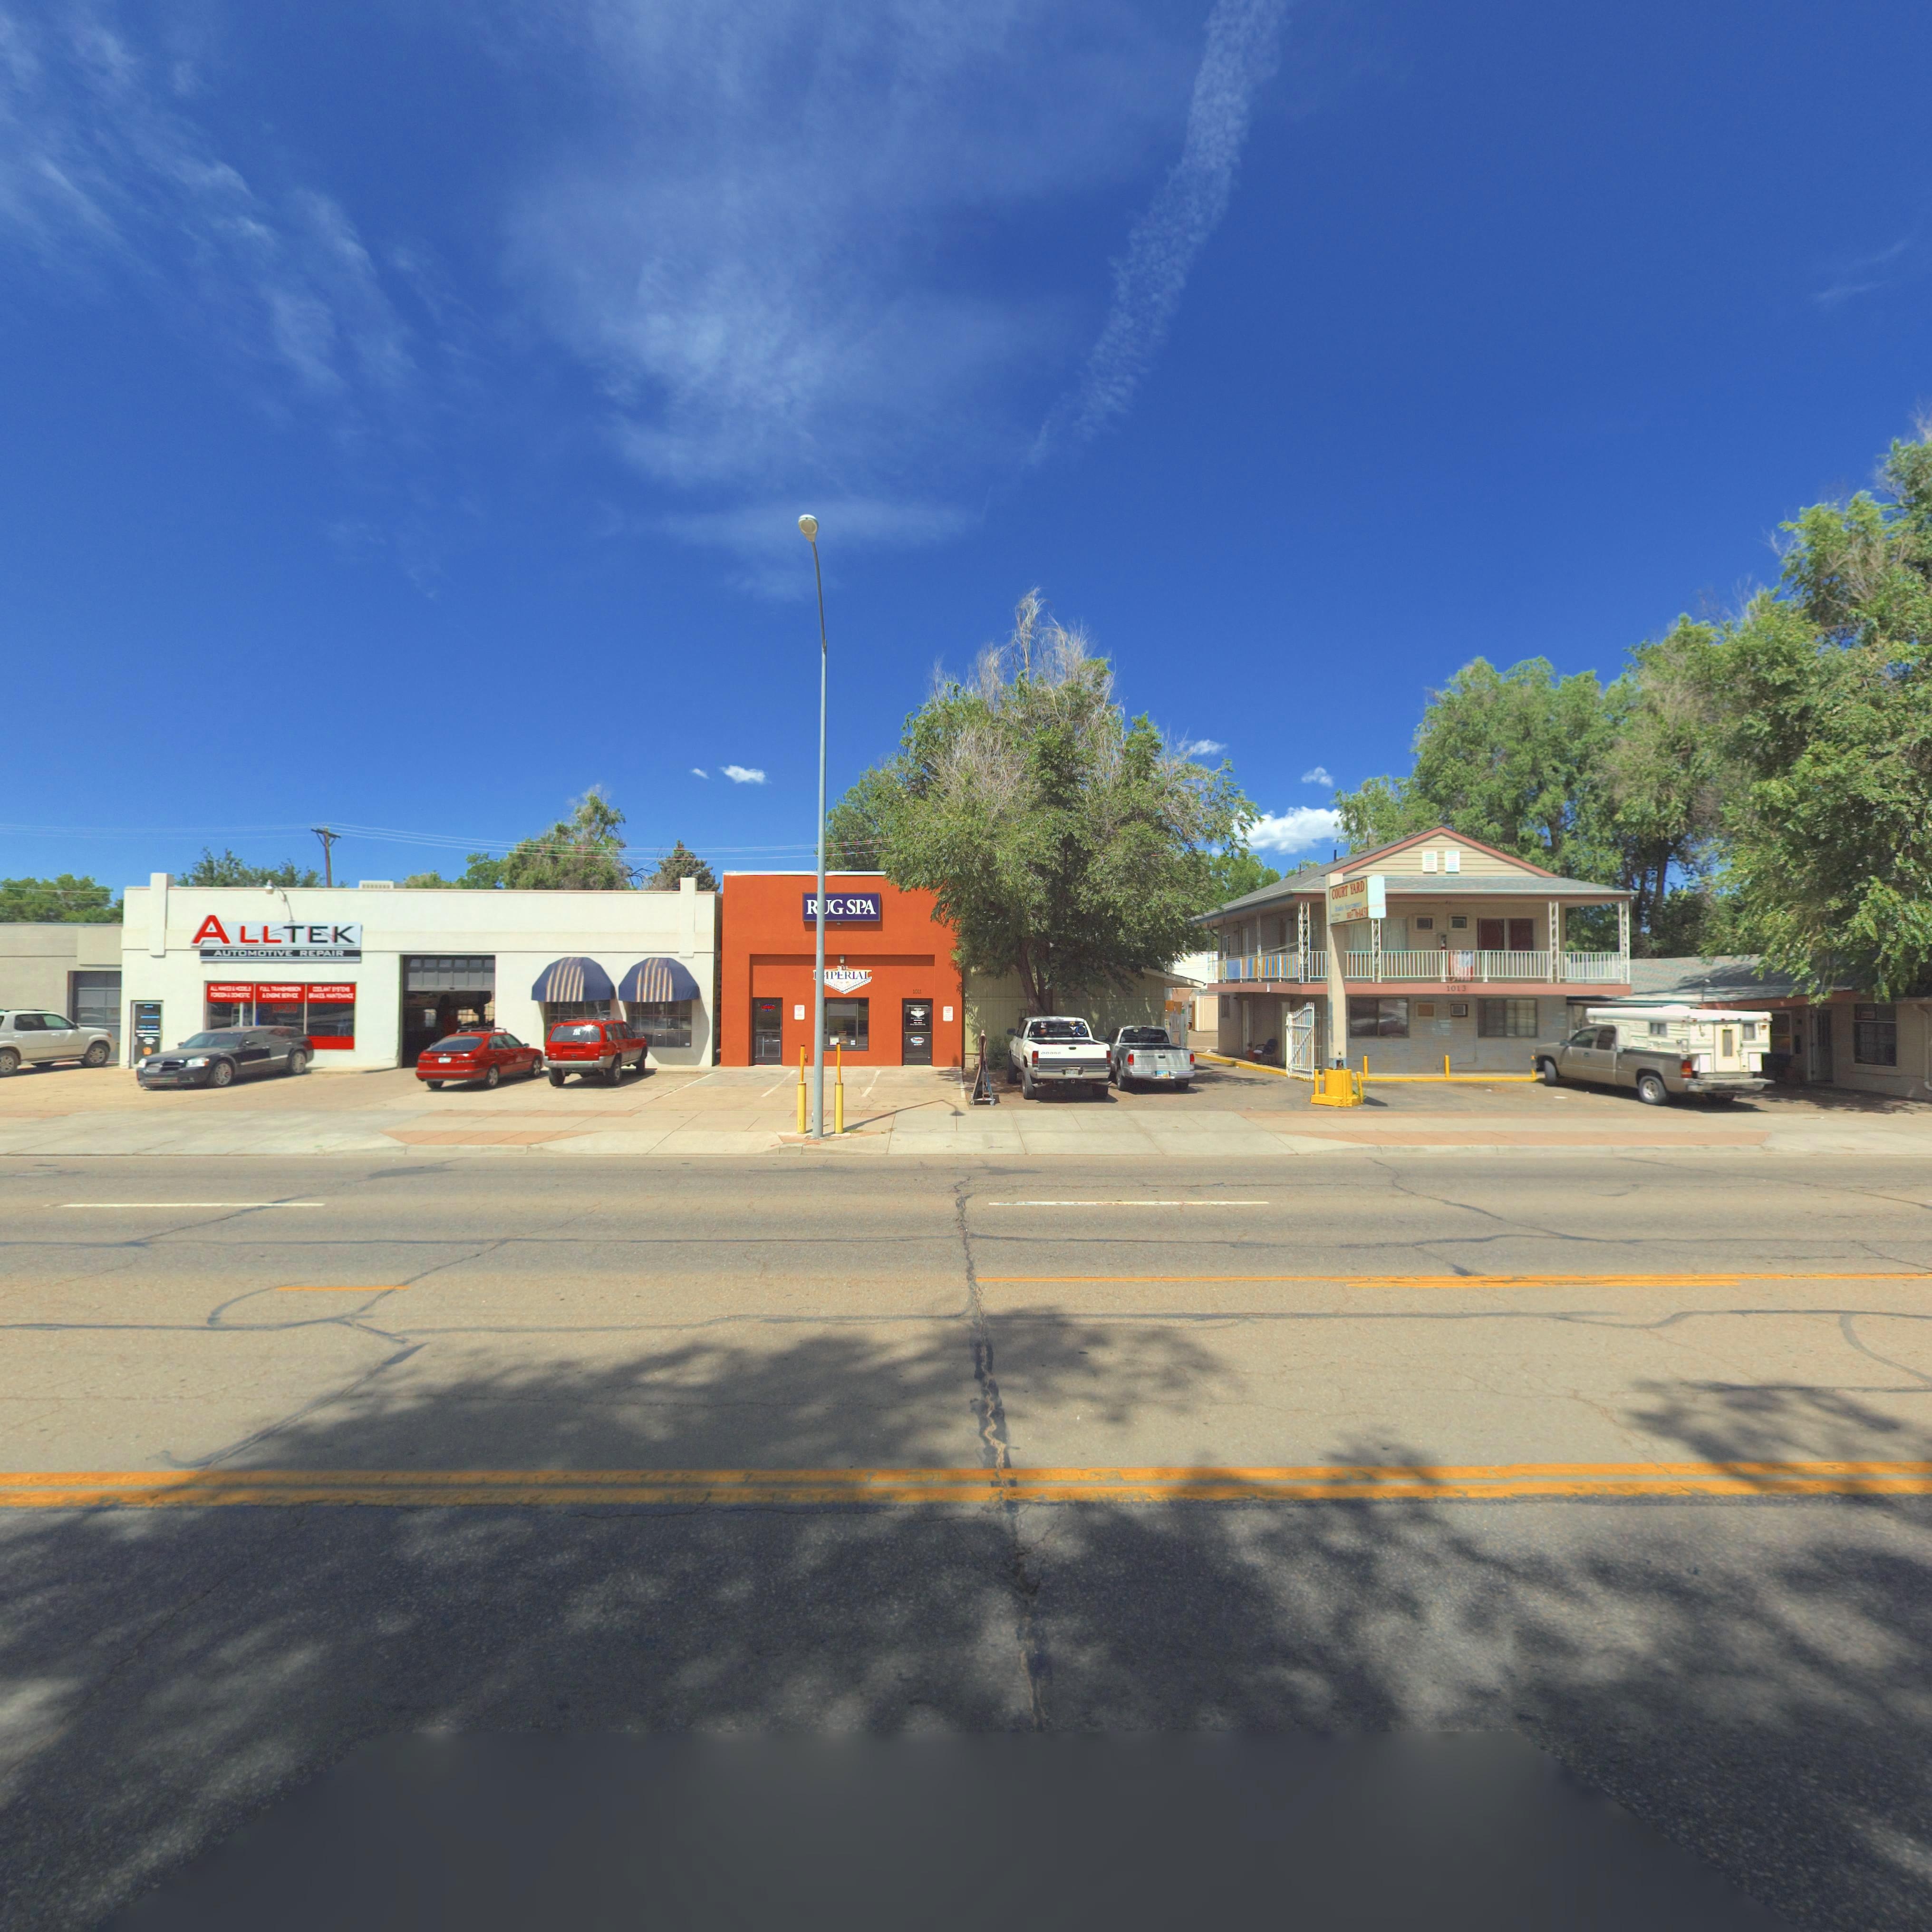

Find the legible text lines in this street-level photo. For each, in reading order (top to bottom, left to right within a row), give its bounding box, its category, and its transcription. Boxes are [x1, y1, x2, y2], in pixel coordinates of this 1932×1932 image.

[1332, 879, 1364, 900] BusinessName: COURT YARD
[806, 899, 877, 915] None: R*G SPA
[189, 914, 357, 944] BusinessName: ALLTEK
[212, 949, 345, 957] BusinessName: AUTOMOTIVE REPAIR
[813, 970, 871, 980] BusinessName: **PERIAL
[913, 988, 921, 994] StreetNumber: 1011
[1447, 985, 1466, 991] StreetNumber: 1013